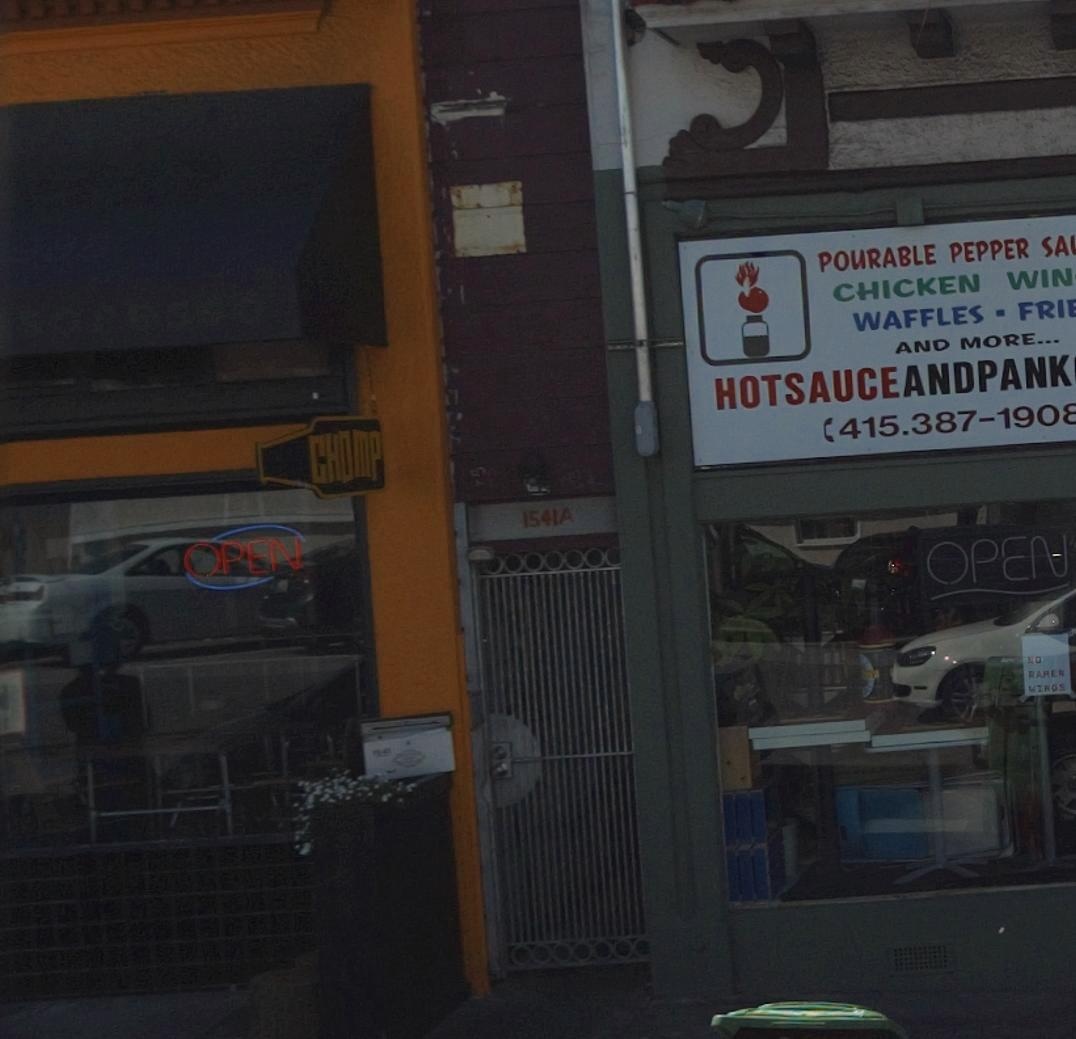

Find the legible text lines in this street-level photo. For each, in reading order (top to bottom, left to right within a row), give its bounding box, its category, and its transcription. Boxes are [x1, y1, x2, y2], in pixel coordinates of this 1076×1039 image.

[816, 234, 1072, 273] None: POURABLE PEPPER SA
[829, 265, 1074, 305] None: CHICKEN WIN
[850, 297, 1066, 333] None: WAFFLES*FRI
[891, 330, 1061, 356] None: AND MORE...
[712, 351, 1073, 413] None: HOTSAUCEANDPANK
[822, 401, 1061, 445] None: (415.387-190
[305, 428, 385, 487] BusinessName: CHOMP
[518, 504, 577, 530] StreetNumber: 1541A
[183, 534, 303, 581] None: OPEN
[922, 530, 1071, 588] None: OPEN
[1026, 654, 1045, 667] None: NO
[1026, 668, 1067, 680] None: RARER
[1027, 681, 1066, 695] None: WINGS